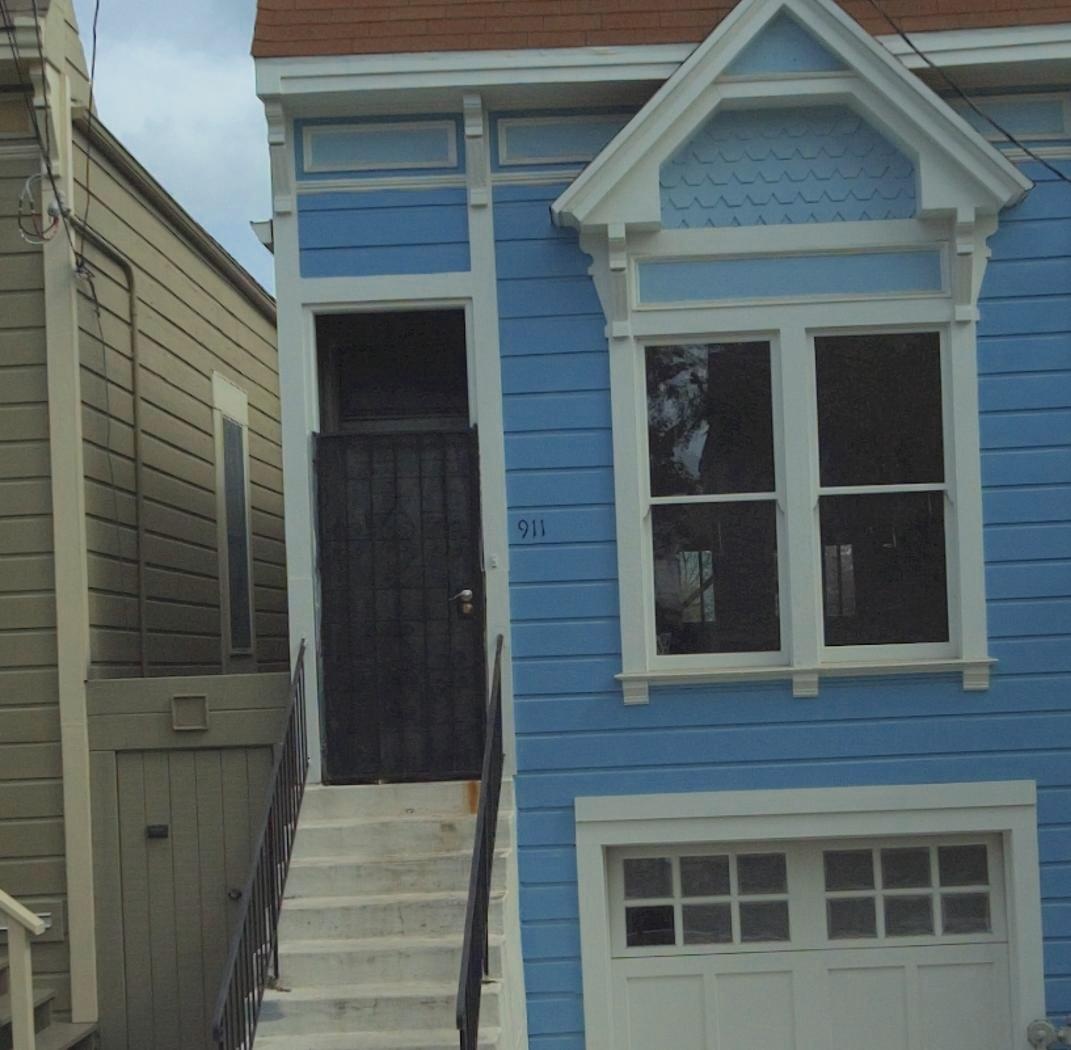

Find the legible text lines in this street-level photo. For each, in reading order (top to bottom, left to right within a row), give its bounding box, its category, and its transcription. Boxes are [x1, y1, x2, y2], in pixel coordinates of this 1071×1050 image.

[517, 517, 547, 540] StreetNumber: 911